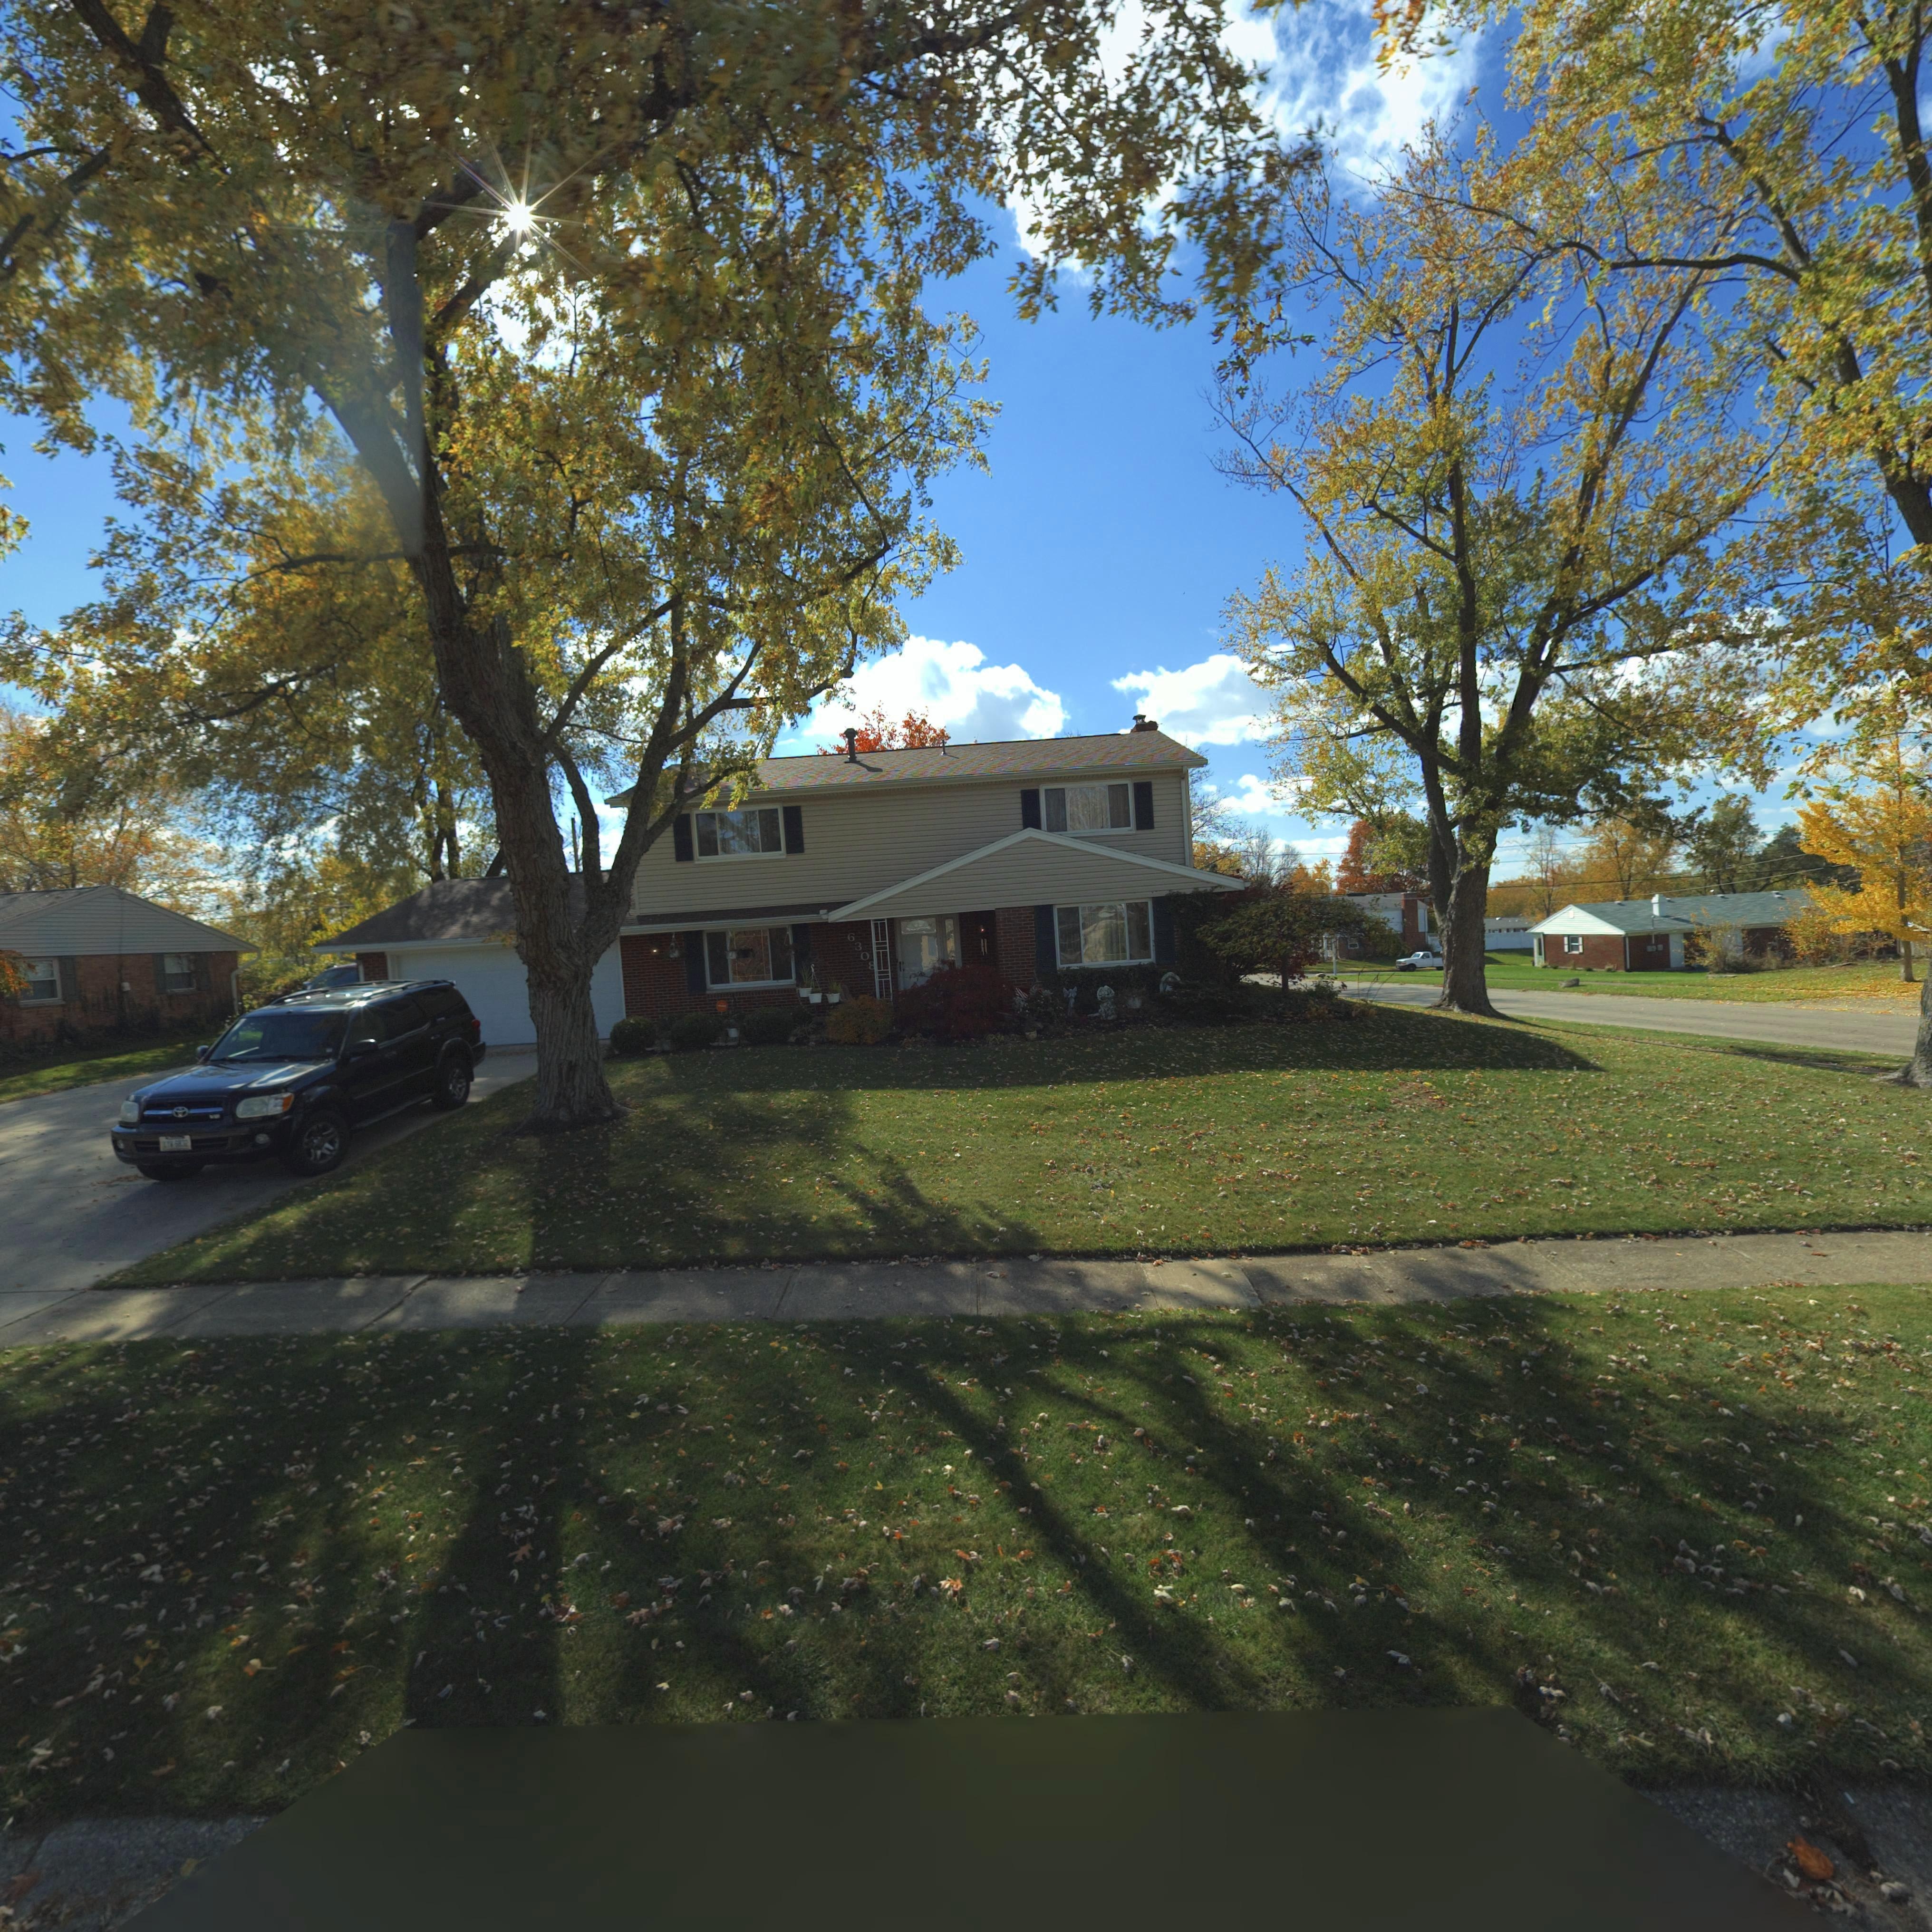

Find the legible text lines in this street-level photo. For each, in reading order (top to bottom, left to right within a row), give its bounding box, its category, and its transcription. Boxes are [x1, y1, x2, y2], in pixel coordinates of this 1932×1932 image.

[847, 931, 875, 971] StreetNumber: 6308